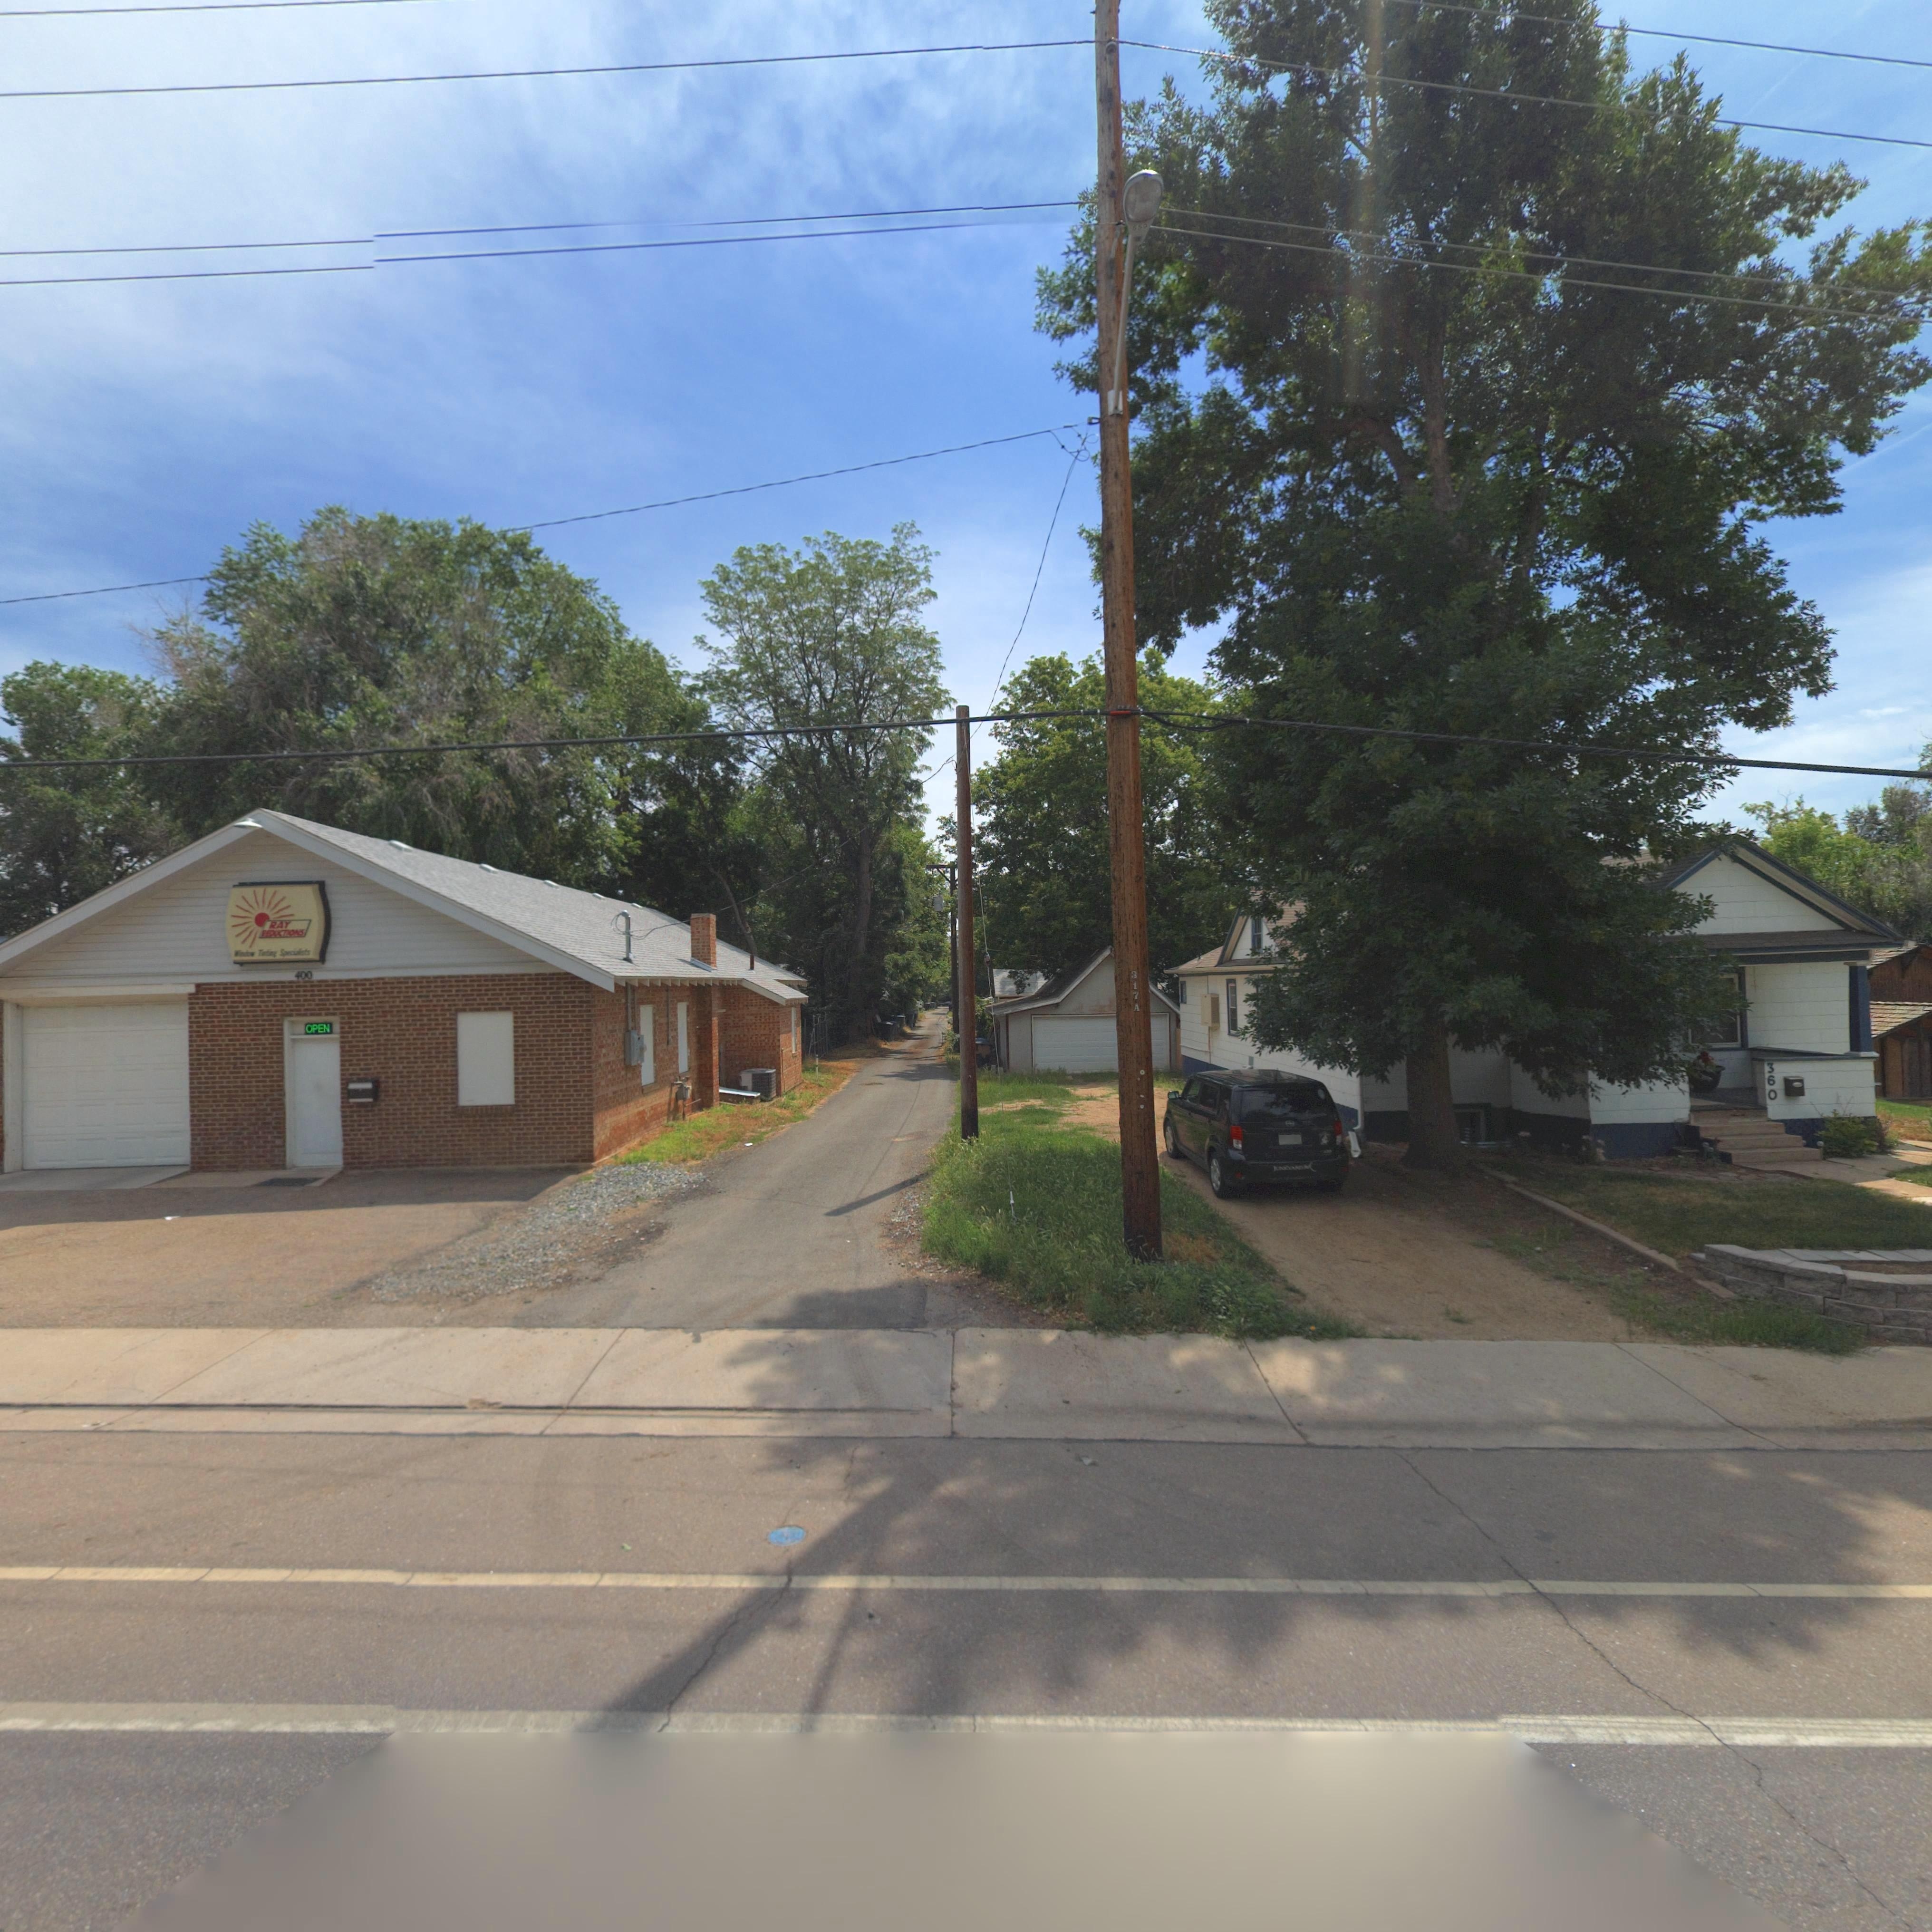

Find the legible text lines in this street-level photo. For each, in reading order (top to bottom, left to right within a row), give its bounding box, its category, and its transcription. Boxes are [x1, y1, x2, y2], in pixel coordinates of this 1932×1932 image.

[268, 920, 291, 929] BusinessName: RAY
[260, 928, 306, 937] BusinessName: ***UCTIONS
[294, 970, 313, 980] StreetNumber: 400
[1766, 1061, 1778, 1101] StreetNumber: 360